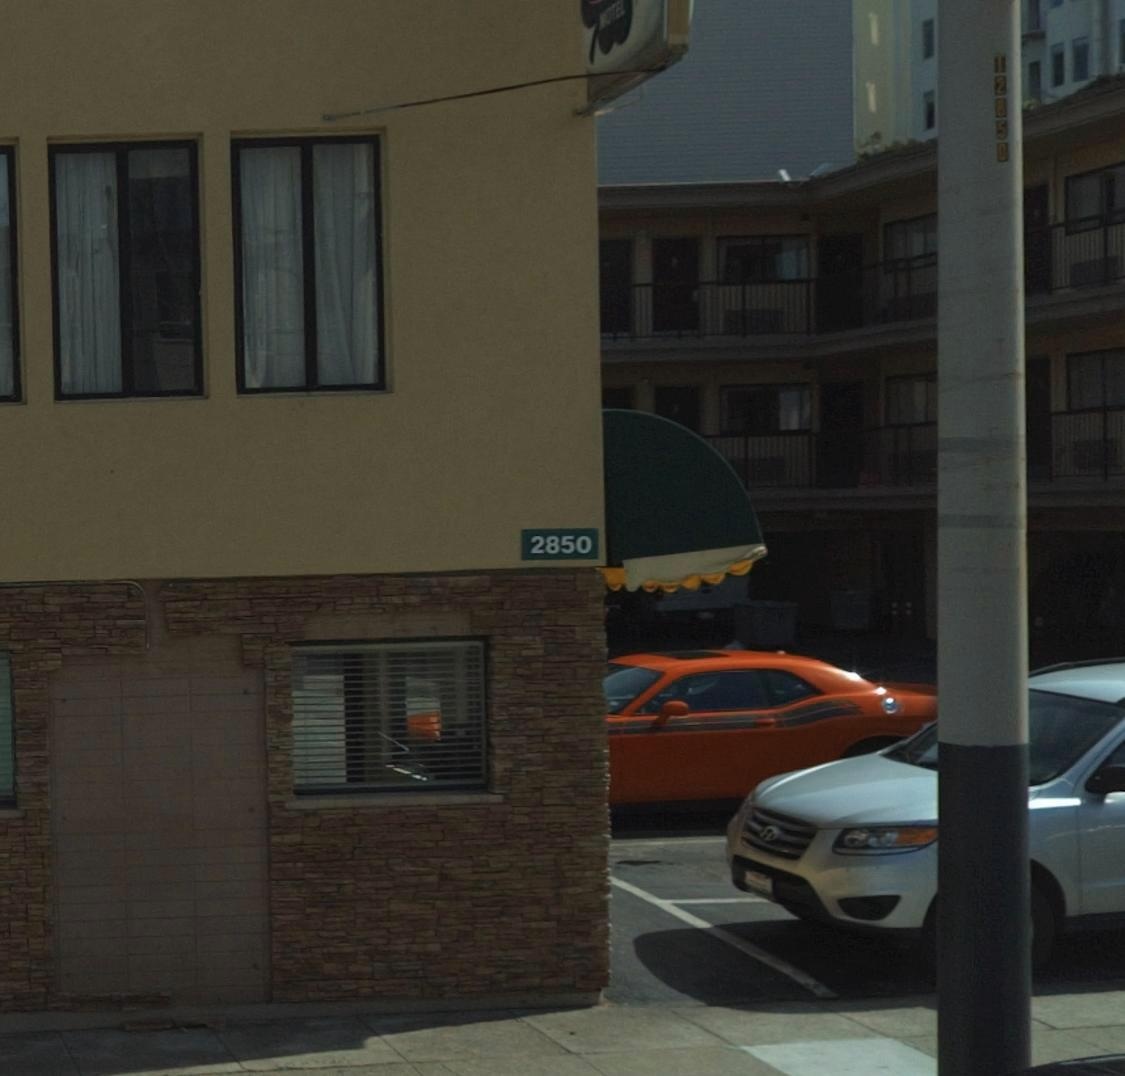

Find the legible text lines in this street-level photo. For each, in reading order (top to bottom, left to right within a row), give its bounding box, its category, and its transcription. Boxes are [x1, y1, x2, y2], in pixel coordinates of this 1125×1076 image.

[992, 54, 1009, 165] None: T2850
[528, 534, 594, 556] StreetNumber: 2850